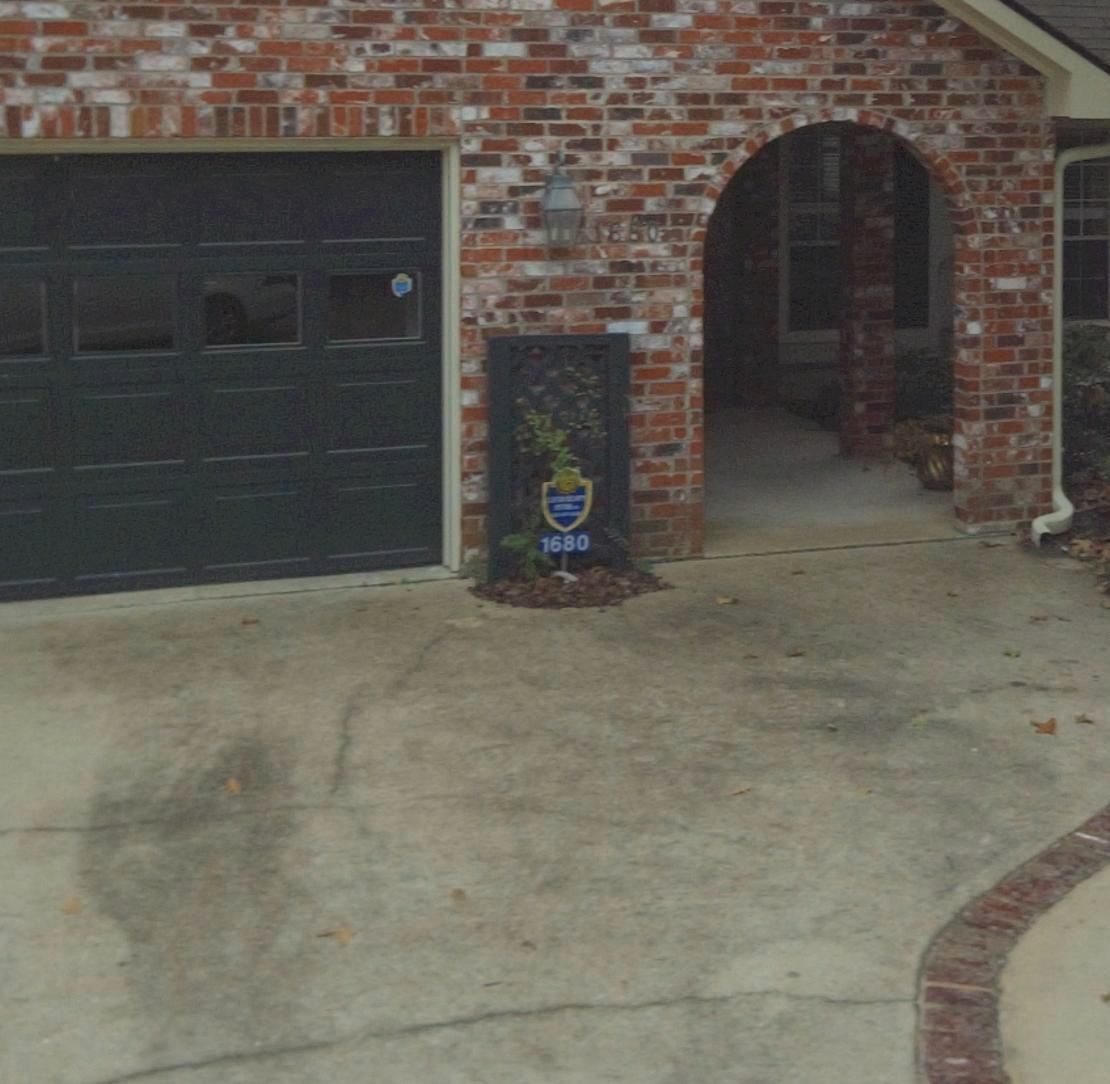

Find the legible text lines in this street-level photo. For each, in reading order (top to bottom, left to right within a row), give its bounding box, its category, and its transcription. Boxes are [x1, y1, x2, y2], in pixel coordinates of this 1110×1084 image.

[540, 532, 590, 555] StreetNumber: 1680